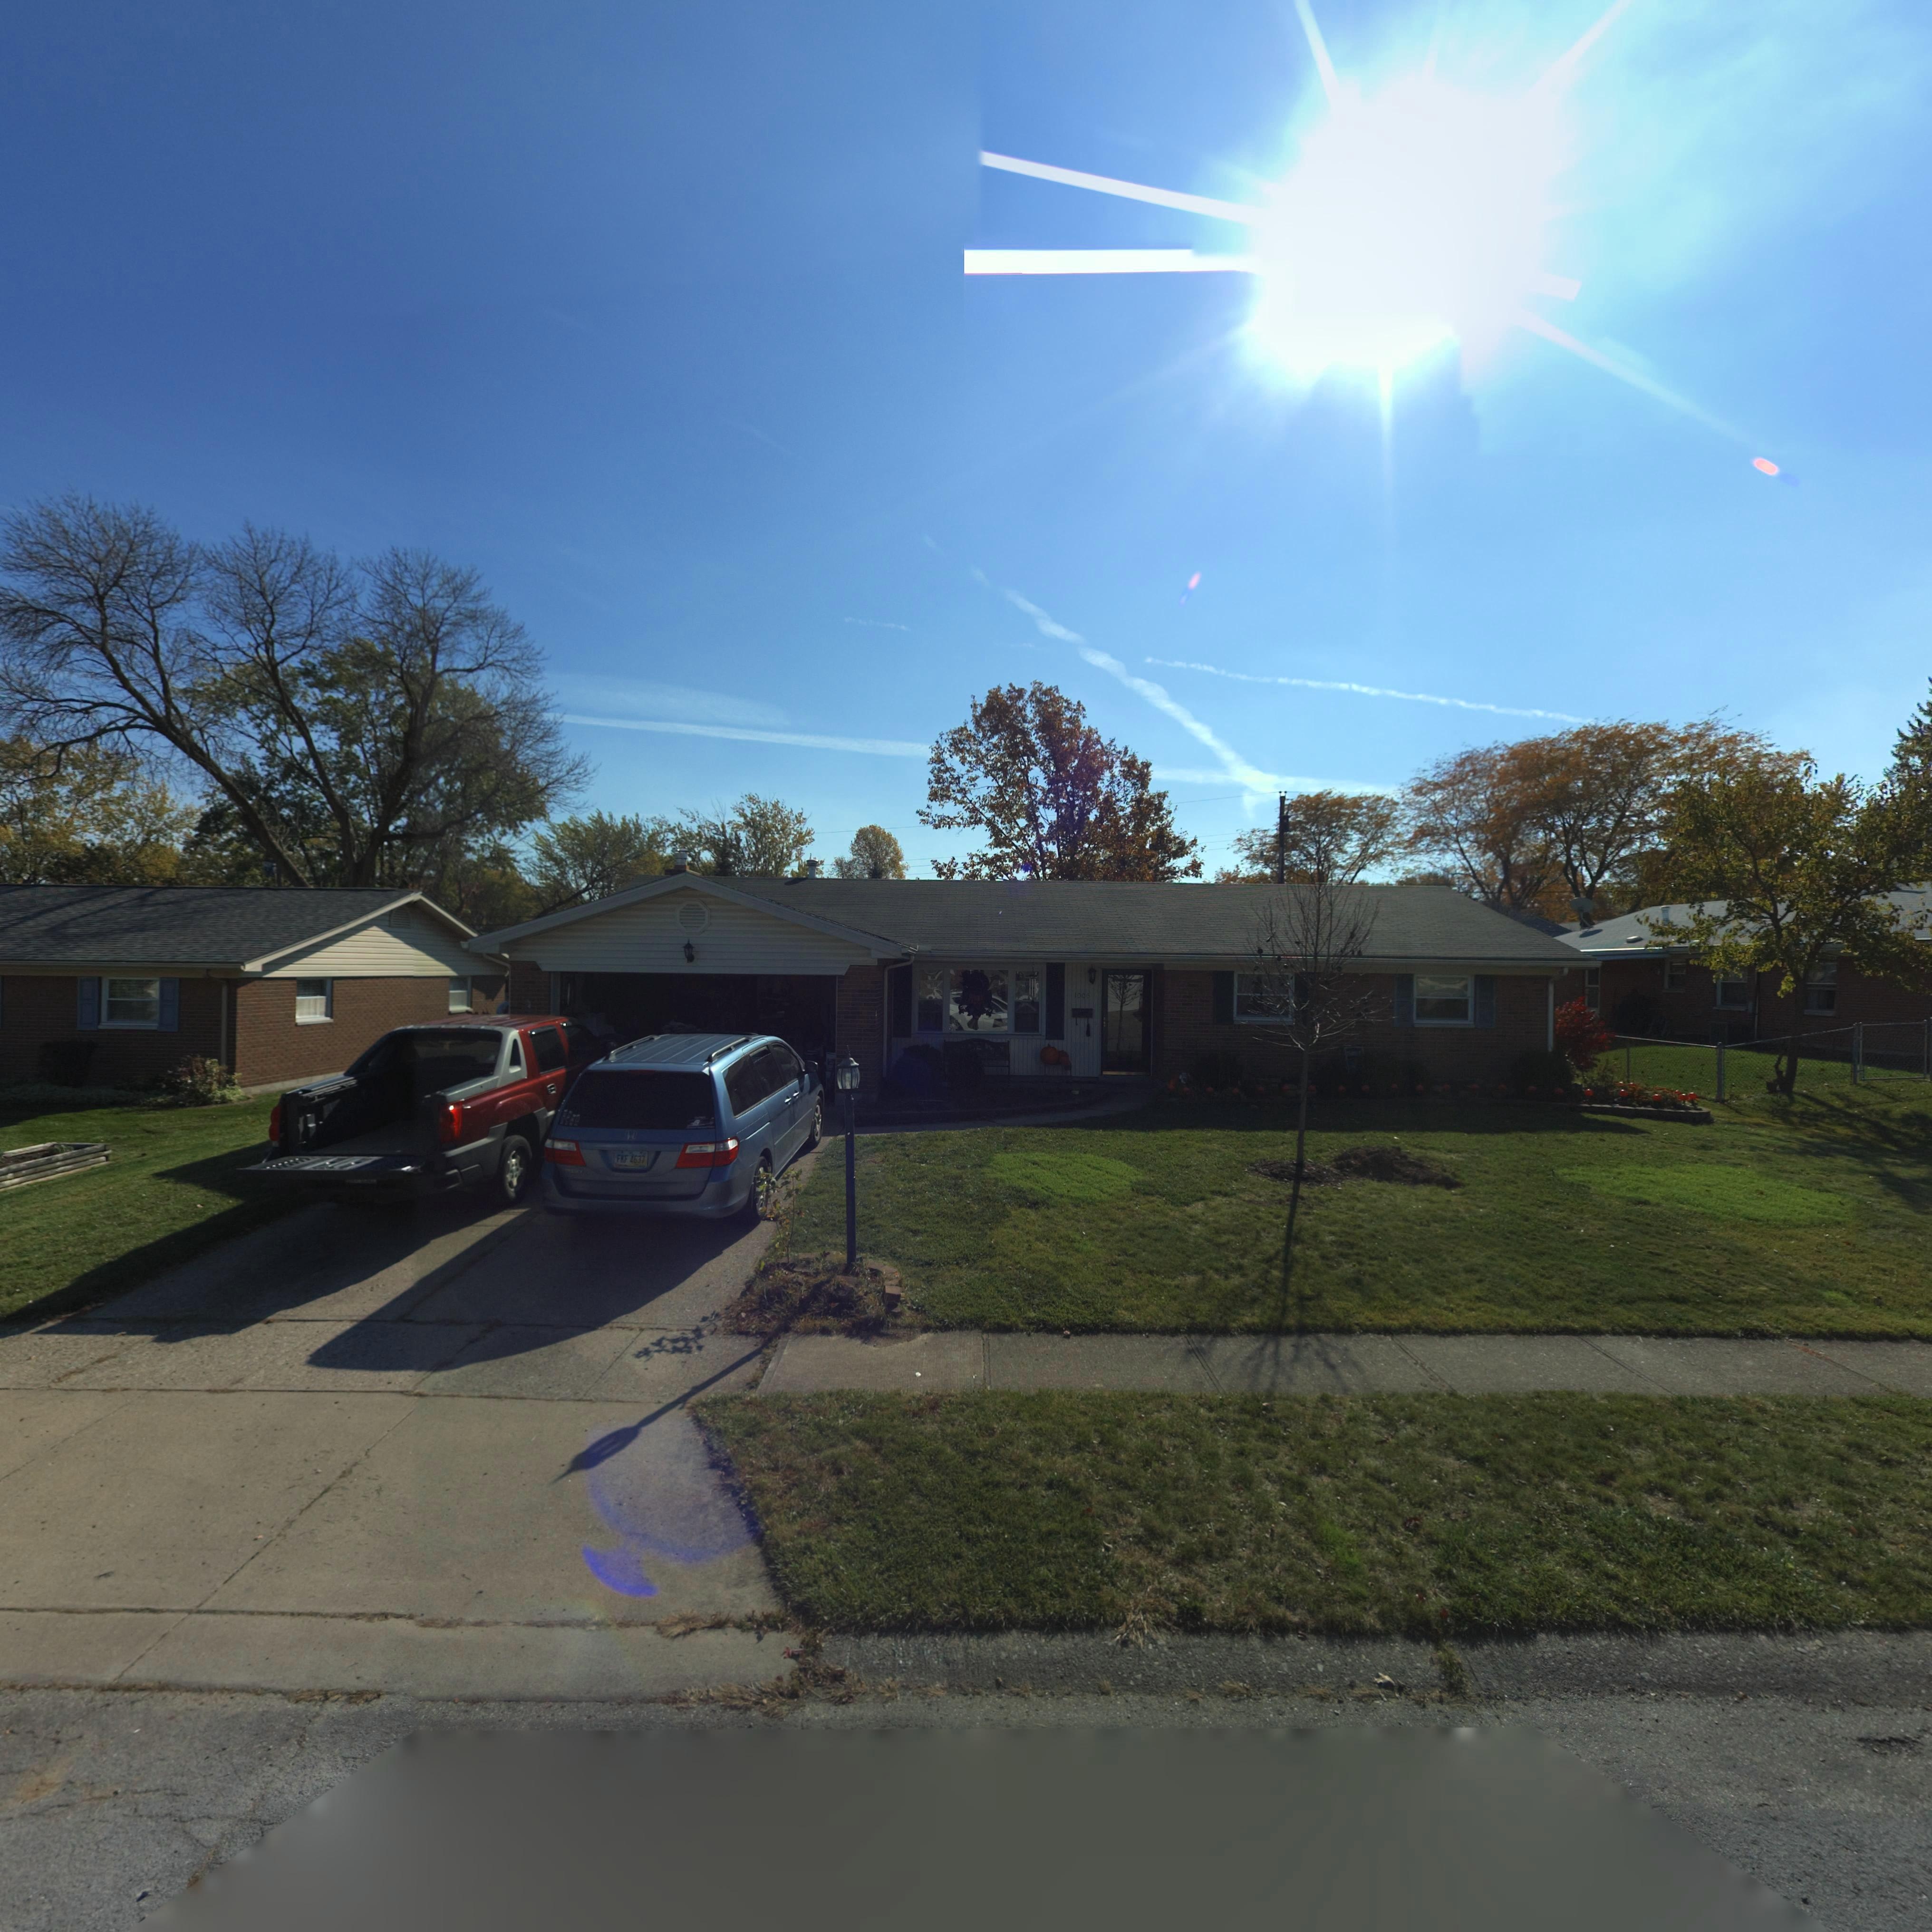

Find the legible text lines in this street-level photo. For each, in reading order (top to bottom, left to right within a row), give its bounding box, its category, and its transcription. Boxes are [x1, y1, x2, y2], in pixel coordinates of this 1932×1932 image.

[1074, 992, 1091, 999] StreetNumber: 1006